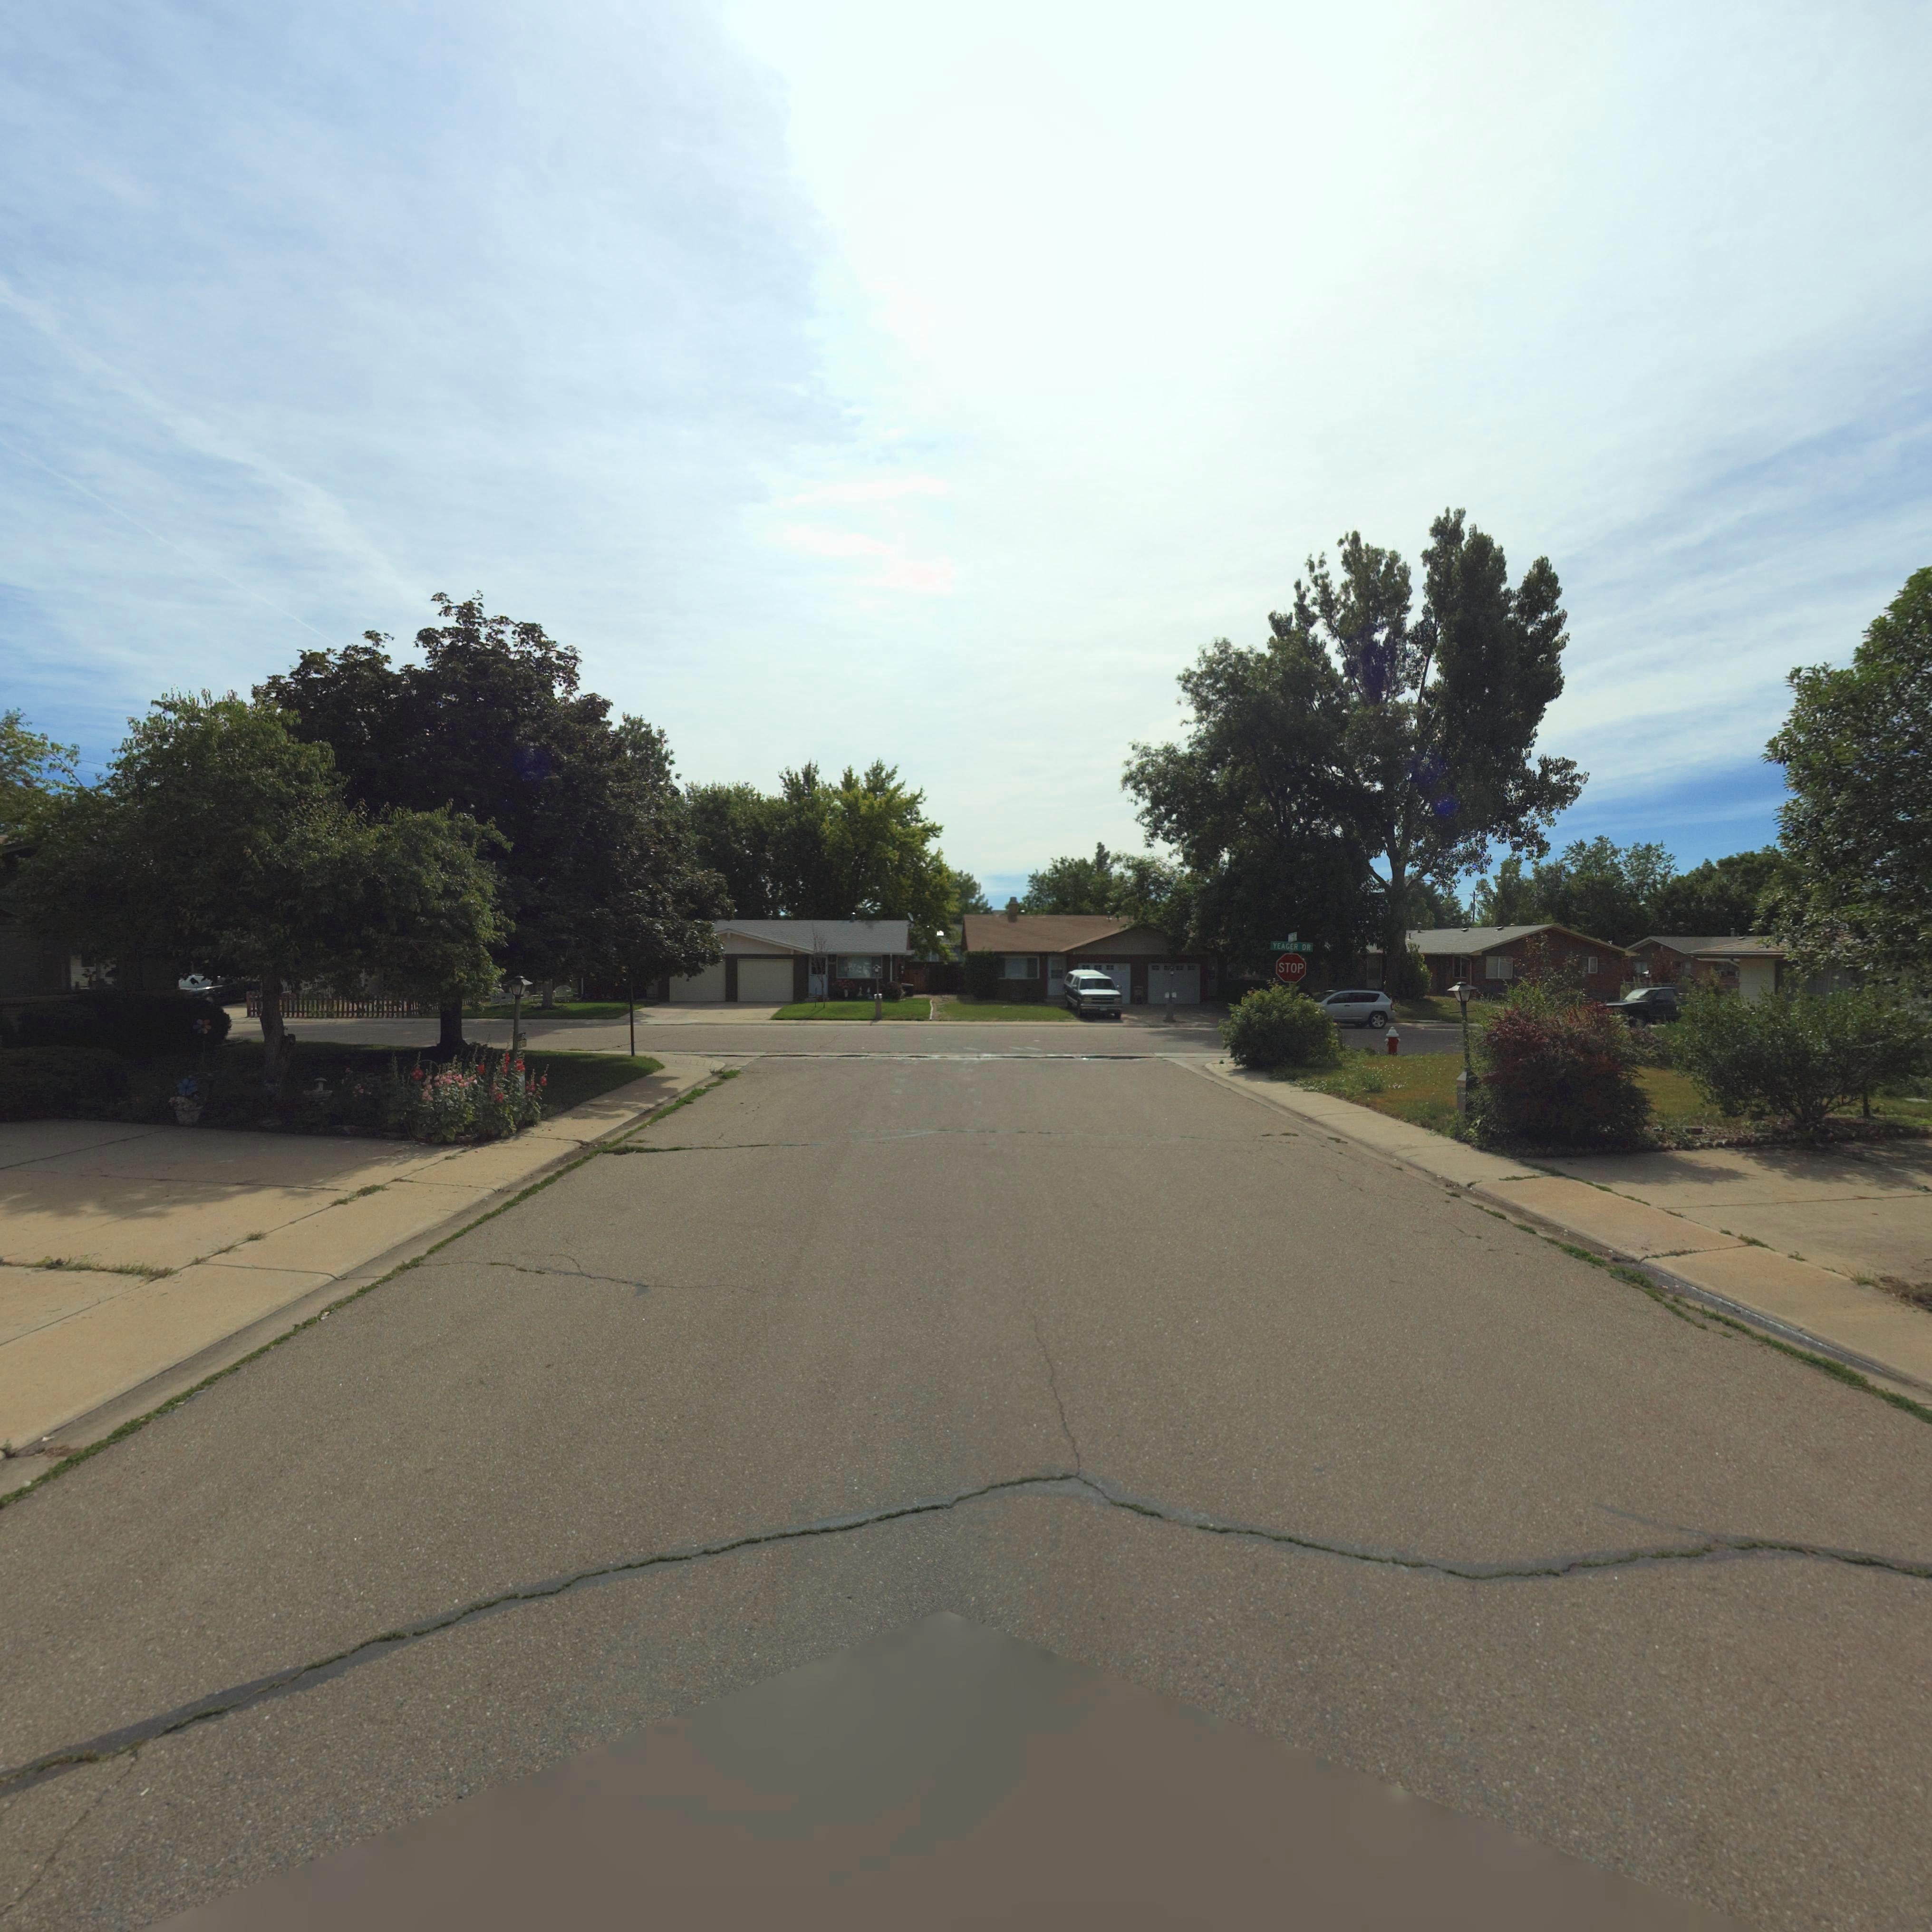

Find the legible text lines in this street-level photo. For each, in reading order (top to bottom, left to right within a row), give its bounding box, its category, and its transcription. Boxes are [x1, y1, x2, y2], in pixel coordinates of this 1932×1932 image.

[1273, 942, 1311, 951] StreetName: YEAGER DR